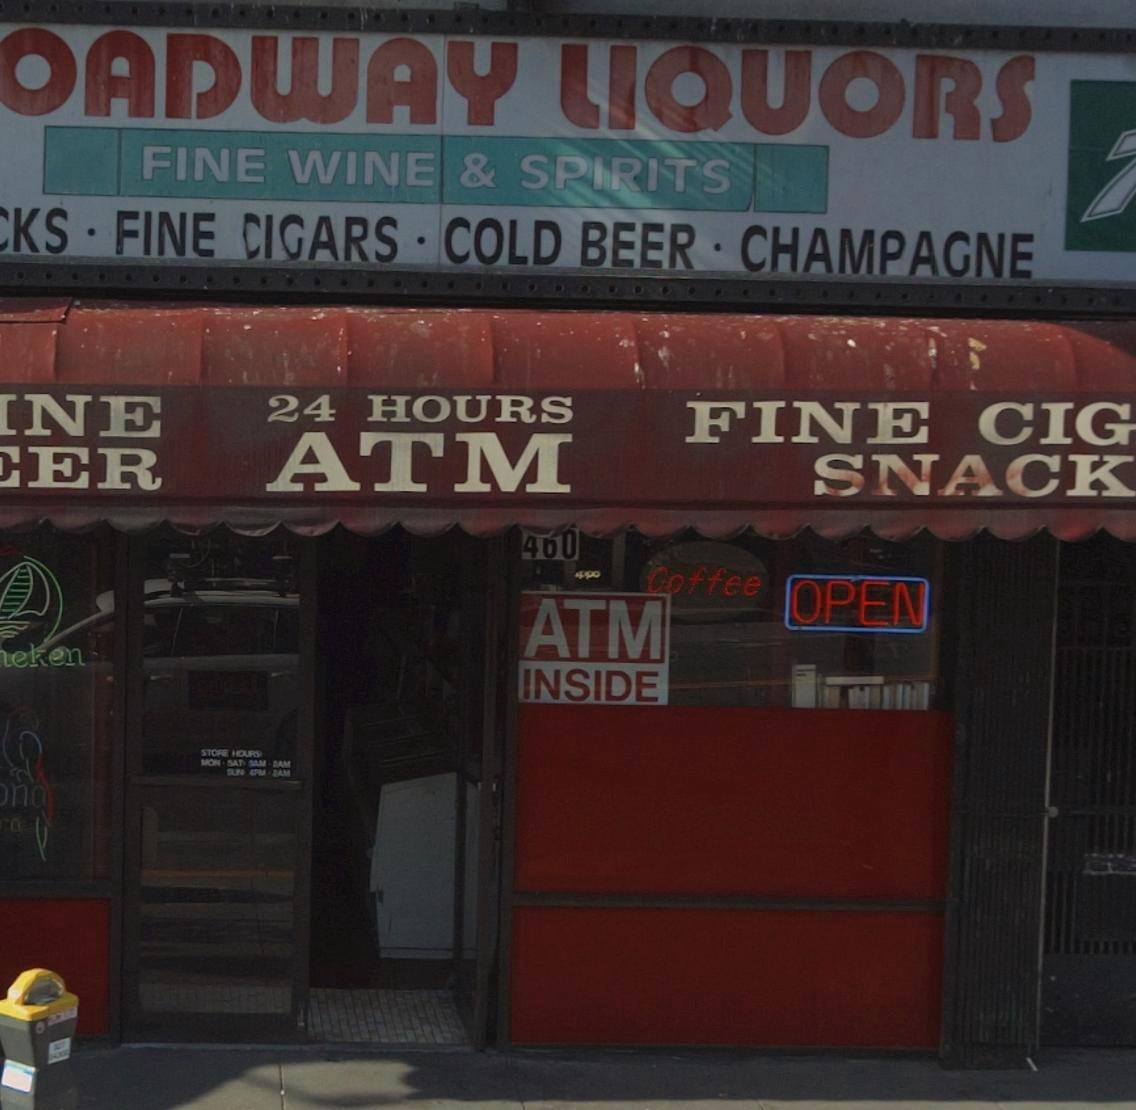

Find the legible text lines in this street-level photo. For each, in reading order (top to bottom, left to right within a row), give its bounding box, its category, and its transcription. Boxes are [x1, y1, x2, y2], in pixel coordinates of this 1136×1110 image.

[80, 25, 1038, 149] BusinessName: ADWAY LIQUORS
[140, 143, 732, 196] None: FINE WINE & SPIRITS
[6, 203, 1038, 285] None: KS * FINE CIGARS * COLD BEER * CHAMPAGNE
[22, 390, 163, 440] None: NE
[265, 393, 574, 425] None: 24 HOURS
[683, 398, 1134, 451] None: FINE CIG
[25, 444, 167, 493] None: ER
[263, 427, 575, 495] None: ATM
[813, 449, 1136, 501] None: SNACK
[520, 523, 577, 561] StreetNumber: 4*0
[644, 563, 763, 599] None: Coffee
[790, 577, 926, 628] None: OPEN
[520, 595, 665, 663] None: ATM
[11, 640, 87, 669] BusinessName: eken
[521, 666, 661, 704] None: INSIDE
[7, 780, 49, 815] None: na
[199, 747, 262, 759] None: STORE HOURS
[199, 757, 292, 769] None: MON-SAT: *AM=*AM
[225, 767, 292, 779] None: SUN *PM=2AM